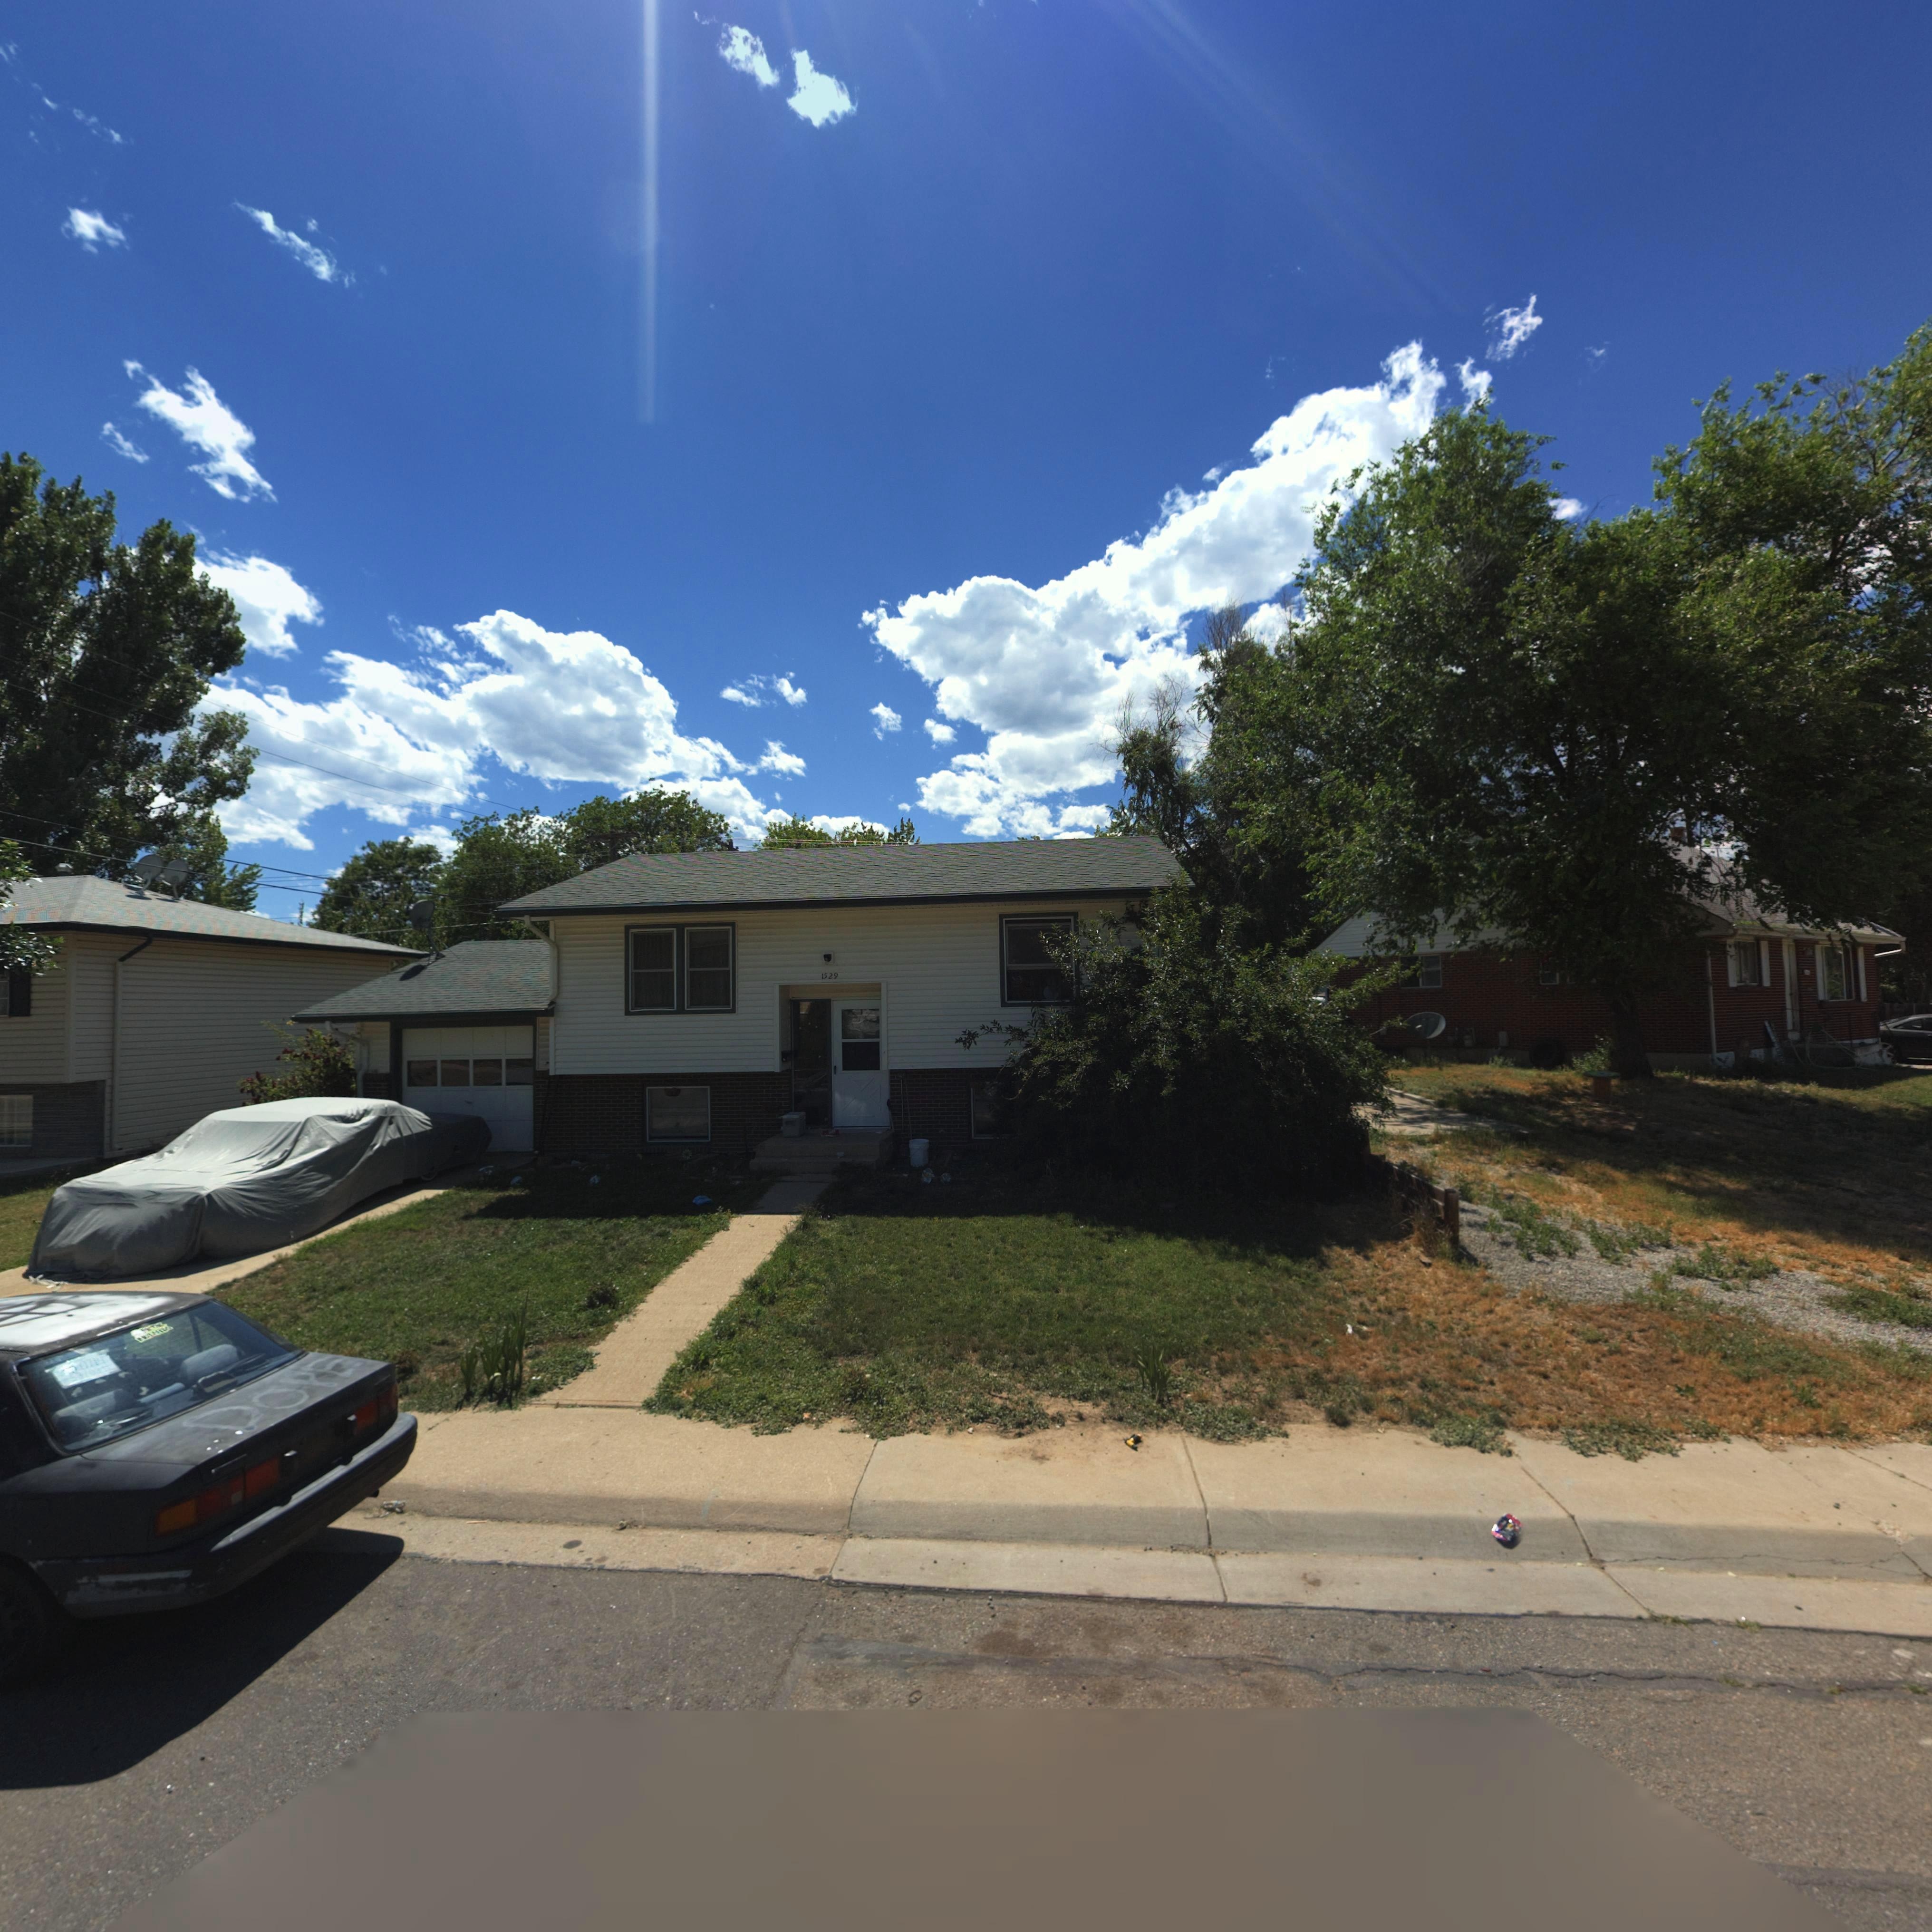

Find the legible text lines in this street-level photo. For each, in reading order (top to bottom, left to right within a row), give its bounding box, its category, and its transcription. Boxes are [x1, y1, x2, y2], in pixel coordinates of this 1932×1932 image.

[821, 972, 838, 979] StreetNumber: 1529